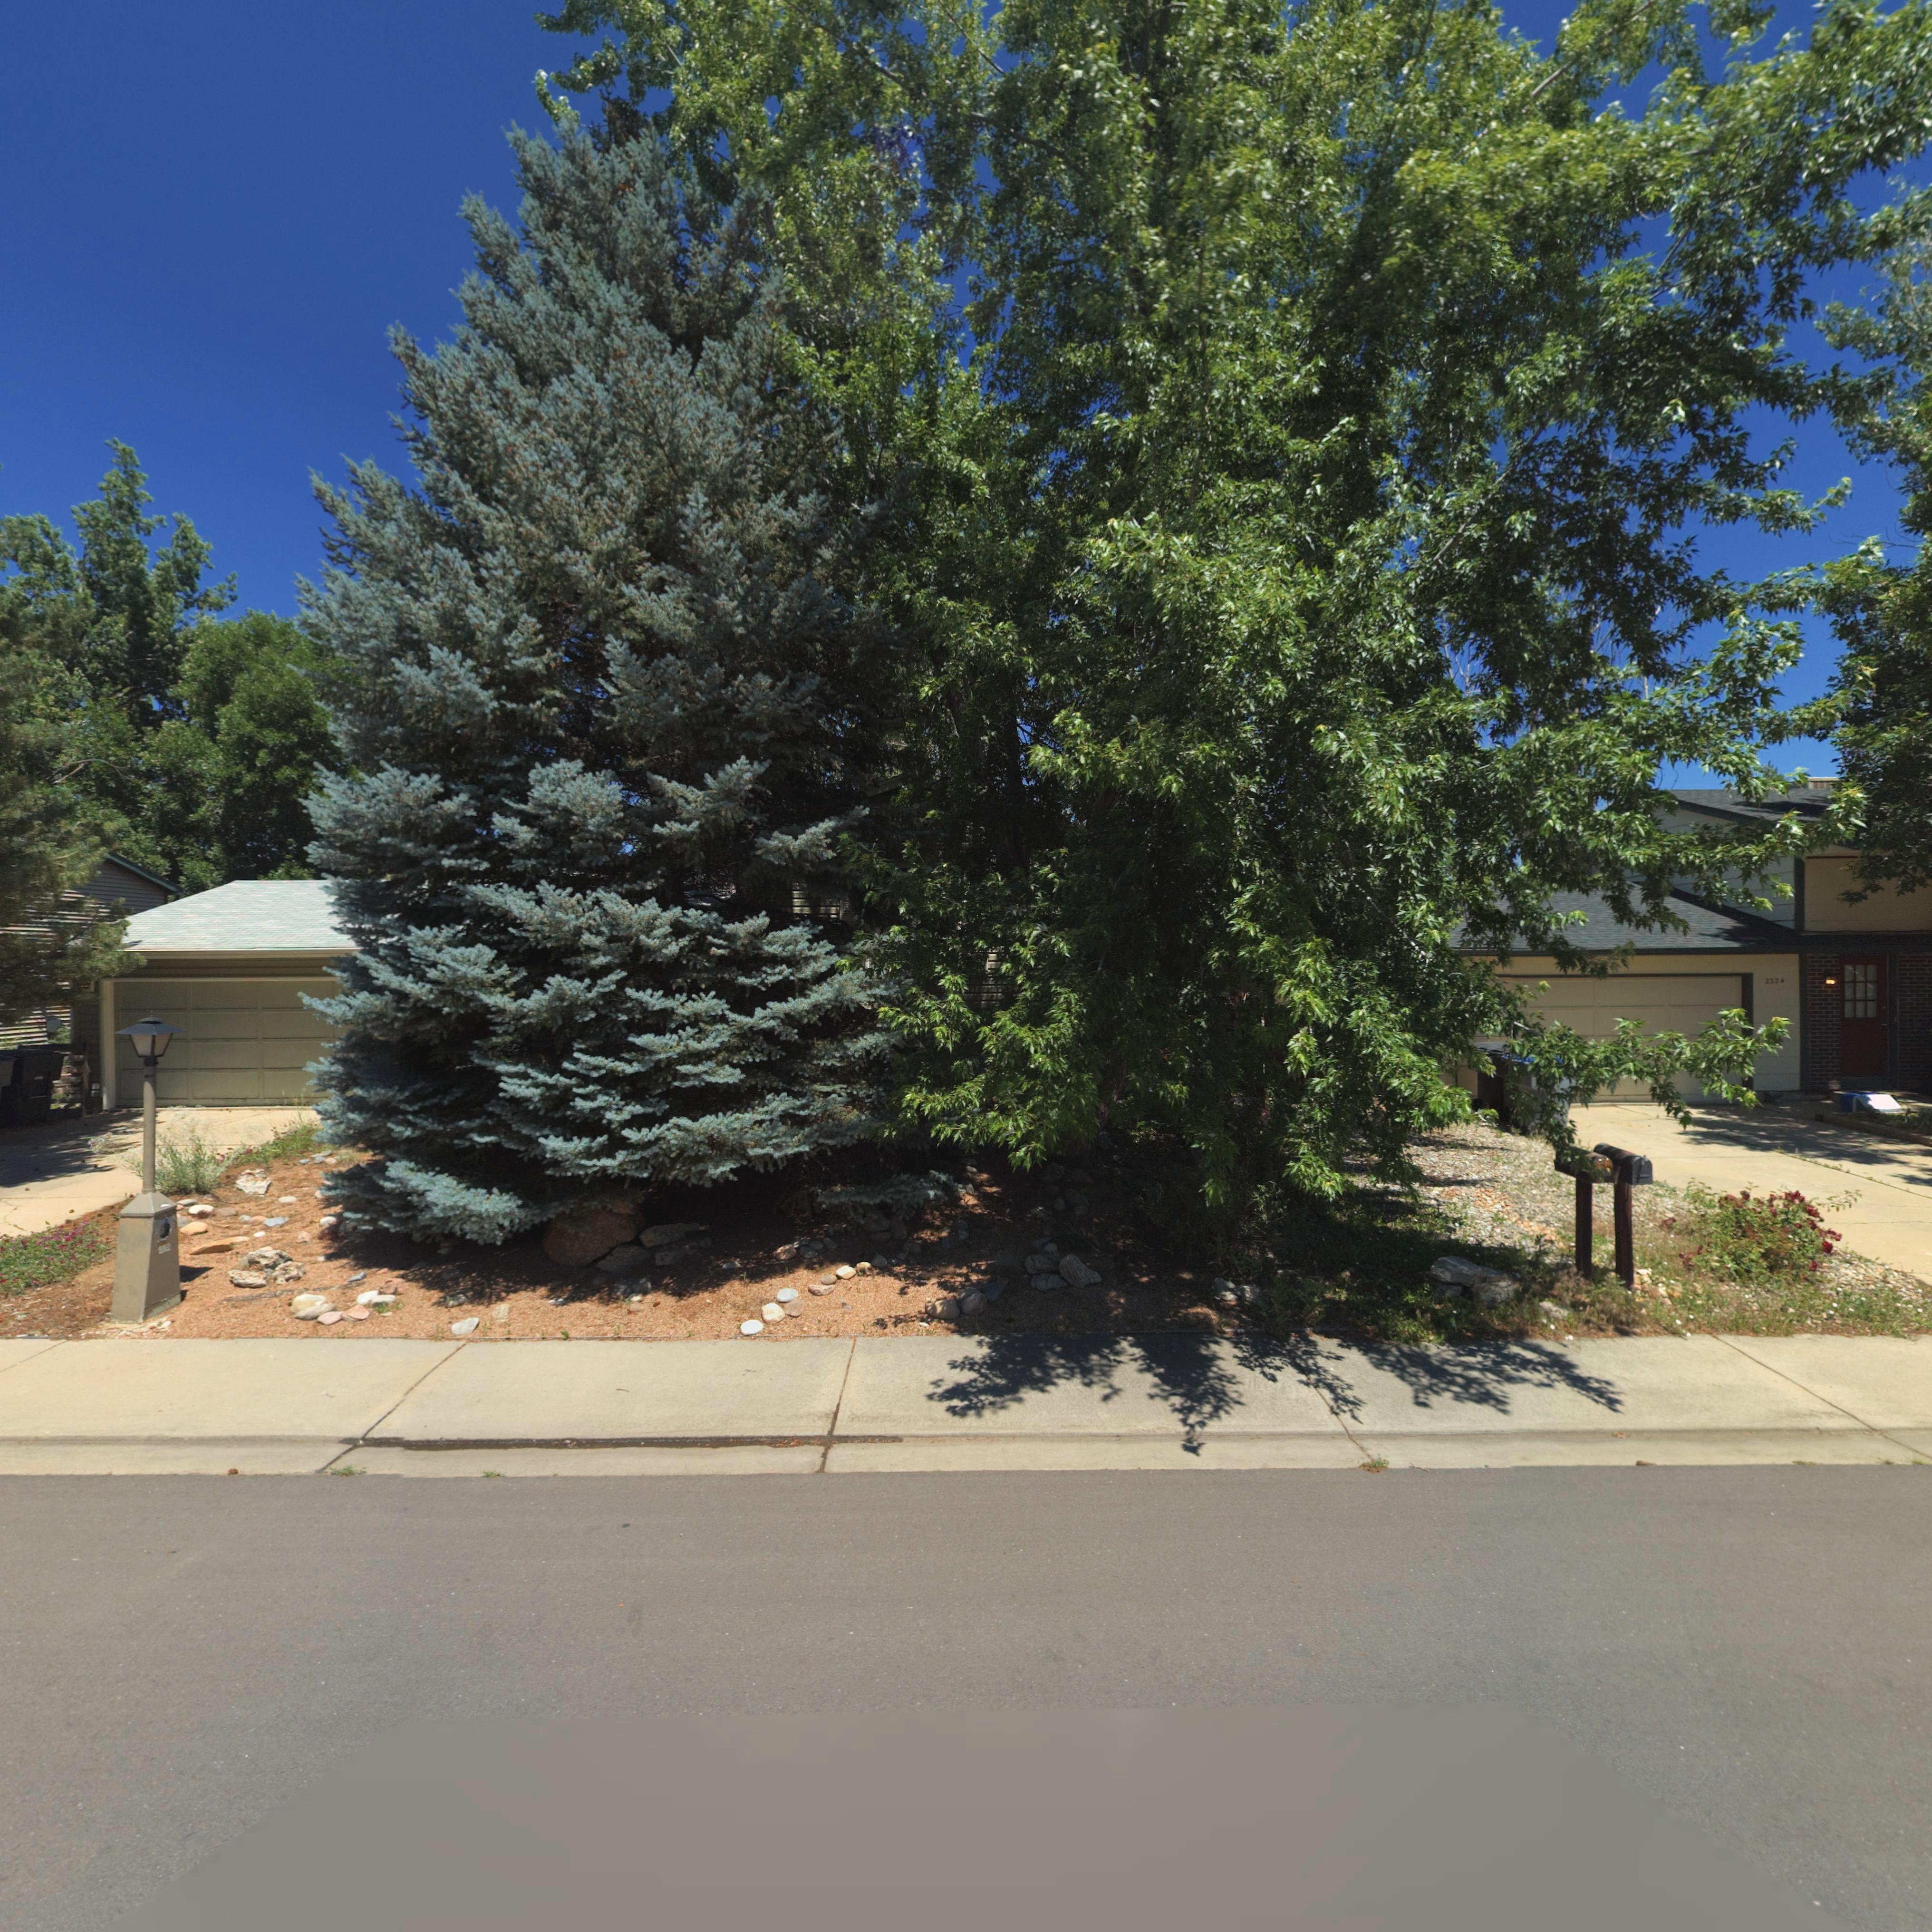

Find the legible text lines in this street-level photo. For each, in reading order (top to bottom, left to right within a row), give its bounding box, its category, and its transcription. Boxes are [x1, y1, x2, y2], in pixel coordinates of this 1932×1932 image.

[1764, 977, 1785, 984] StreetNumber: 2*24